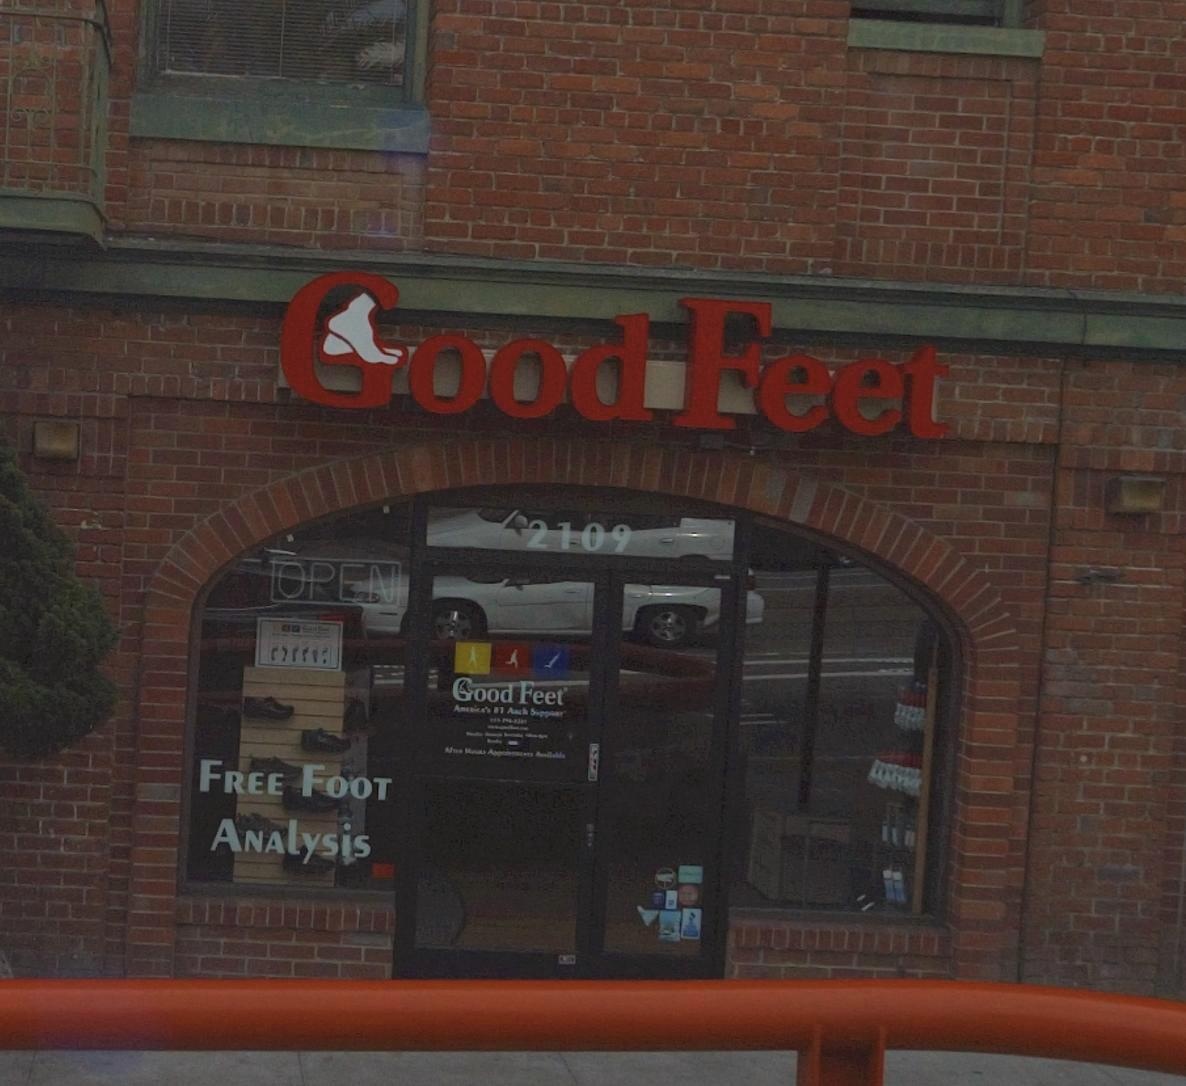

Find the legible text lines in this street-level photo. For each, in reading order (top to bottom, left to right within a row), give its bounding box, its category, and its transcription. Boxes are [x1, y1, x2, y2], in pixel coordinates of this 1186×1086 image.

[274, 265, 958, 444] BusinessName: Good Feet
[523, 517, 635, 555] StreetNumber: 2109
[274, 559, 398, 606] None: OPEN
[450, 675, 567, 708] BusinessName: Good Feet
[197, 757, 396, 803] None: FREE FOOT
[589, 743, 600, 775] None: PUL*
[206, 814, 376, 867] None: ANALYSiS